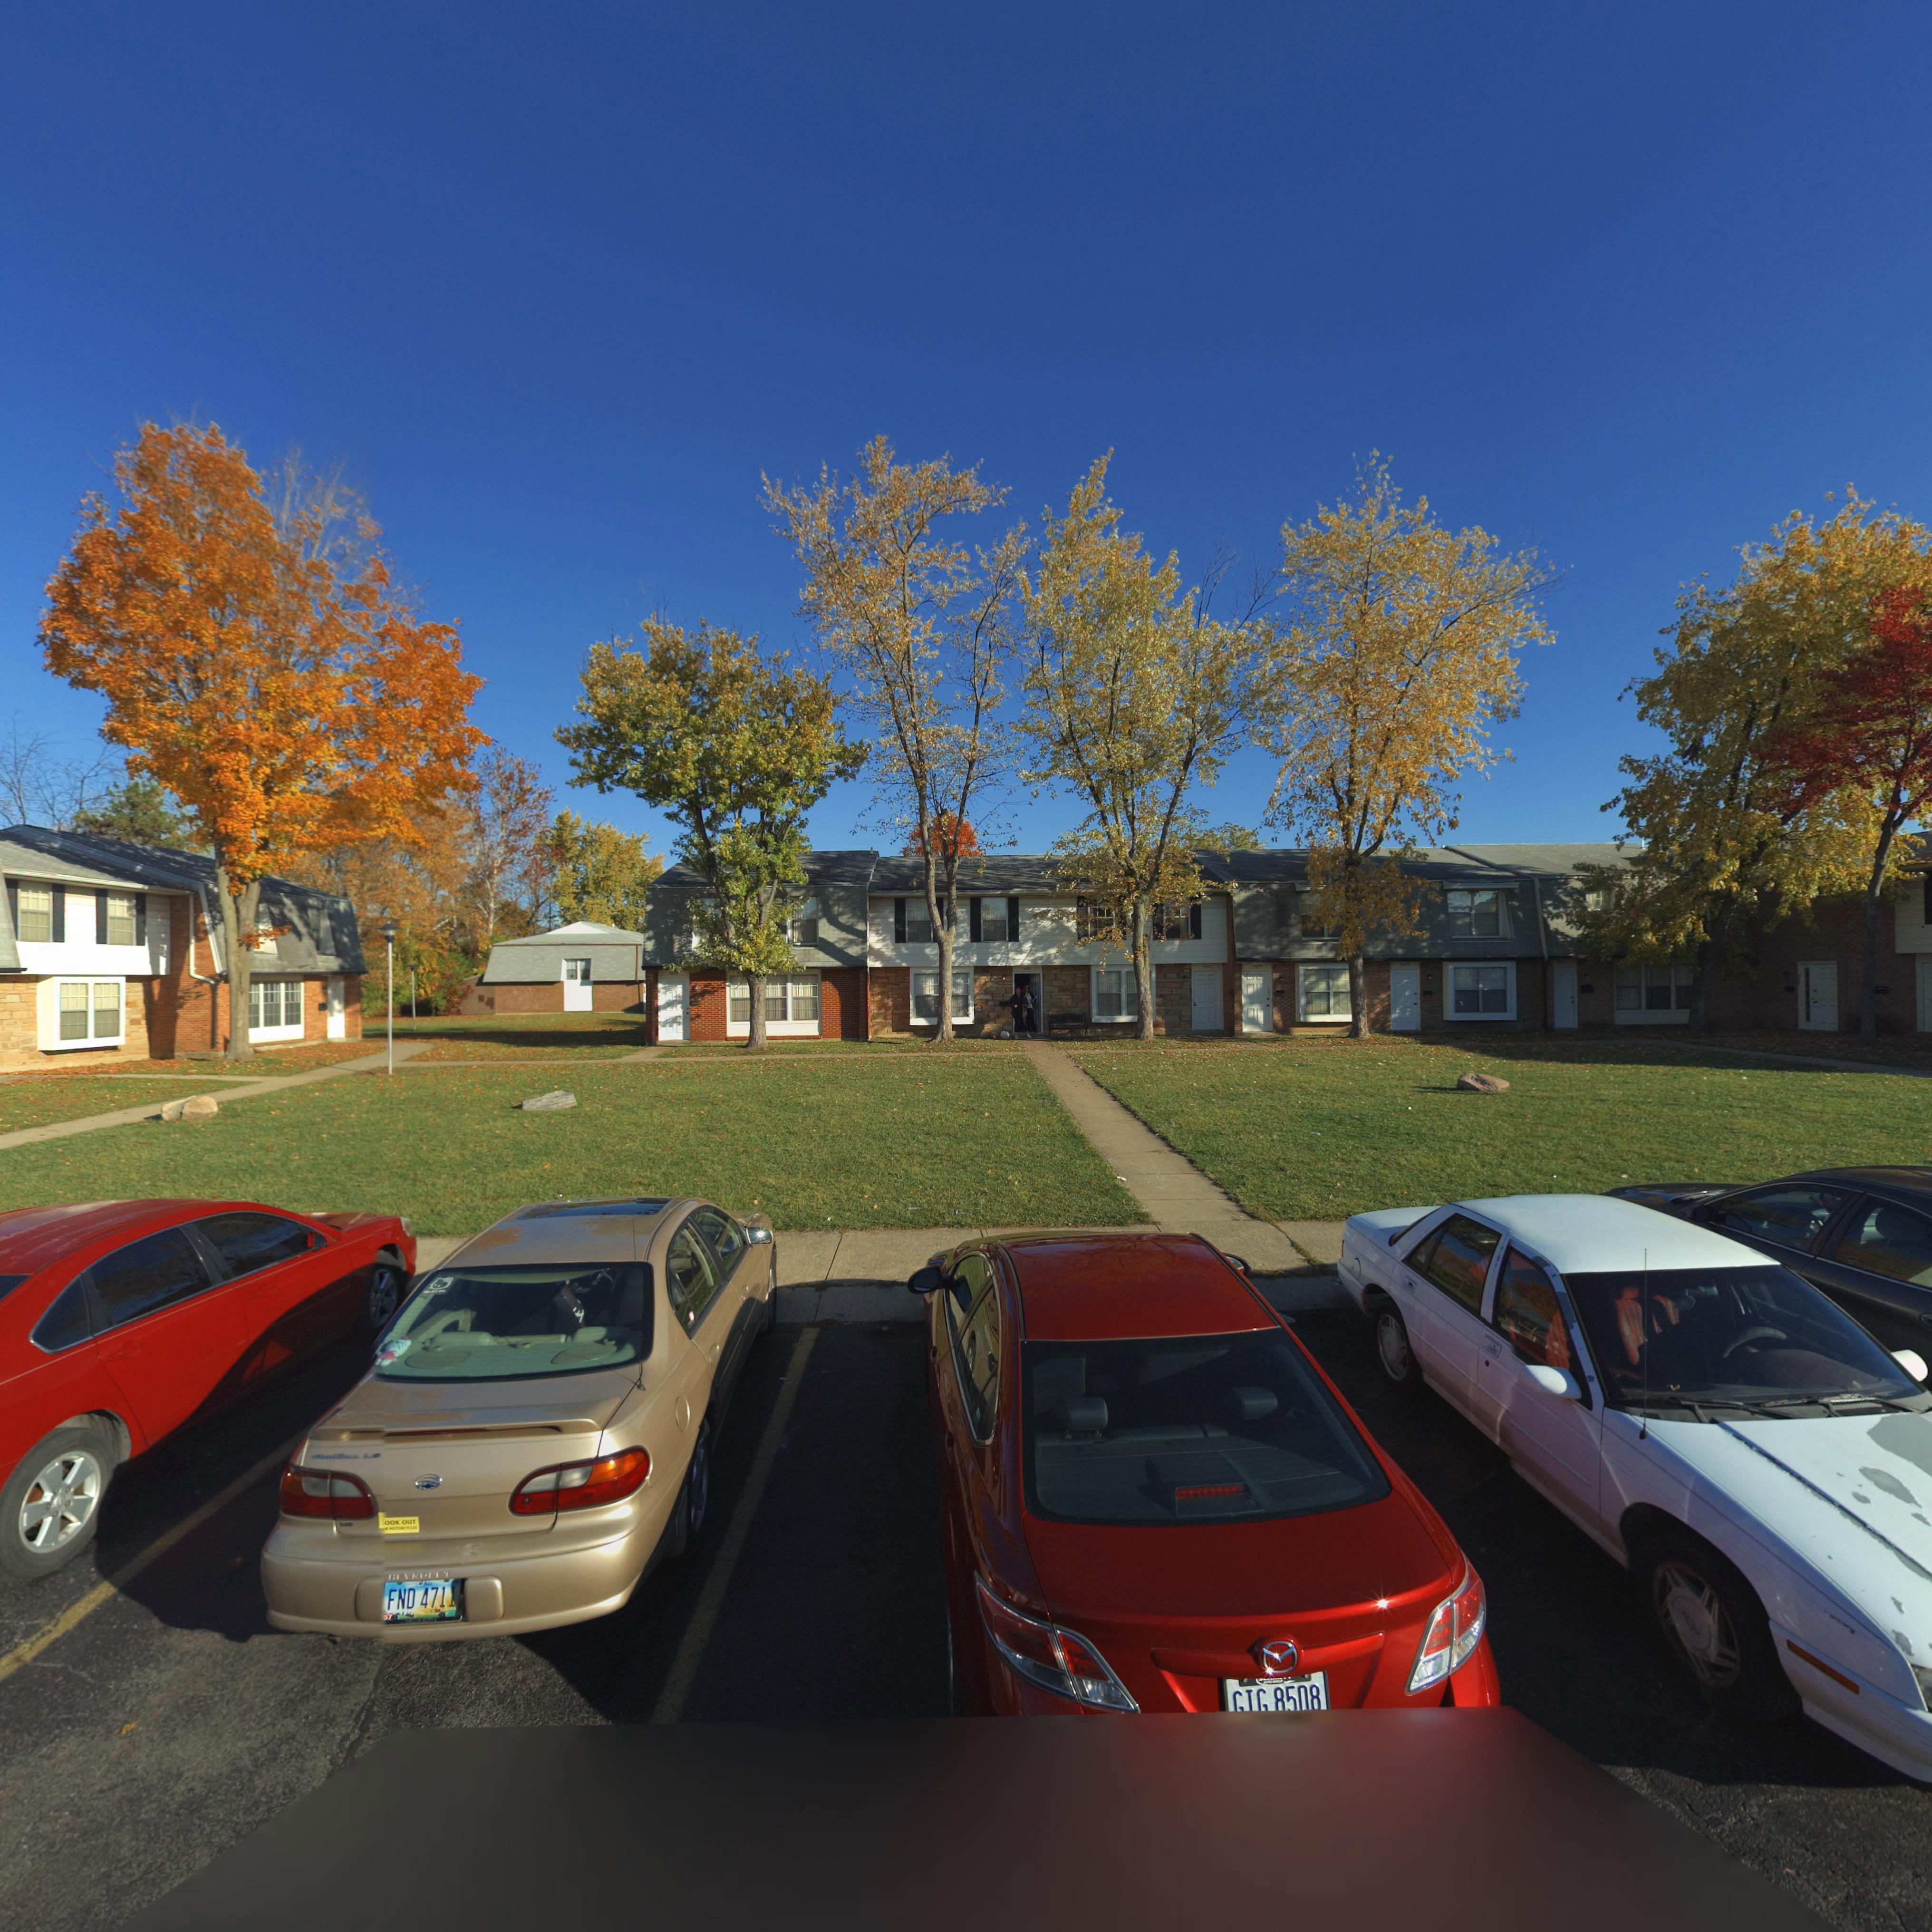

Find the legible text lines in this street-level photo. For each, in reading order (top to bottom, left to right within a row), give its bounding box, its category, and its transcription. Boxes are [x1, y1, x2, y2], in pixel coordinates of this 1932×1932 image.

[1563, 959, 1567, 965] StreetNumber: 9
[1022, 967, 1032, 970] StreetNumber: 7691
[1202, 965, 1213, 968] StreetNumber: 7*93
[1252, 964, 1263, 968] StreetNumber: 7695
[1399, 963, 1411, 966] StreetNumber: 7697
[668, 971, 678, 976] StreetNumber: 76**